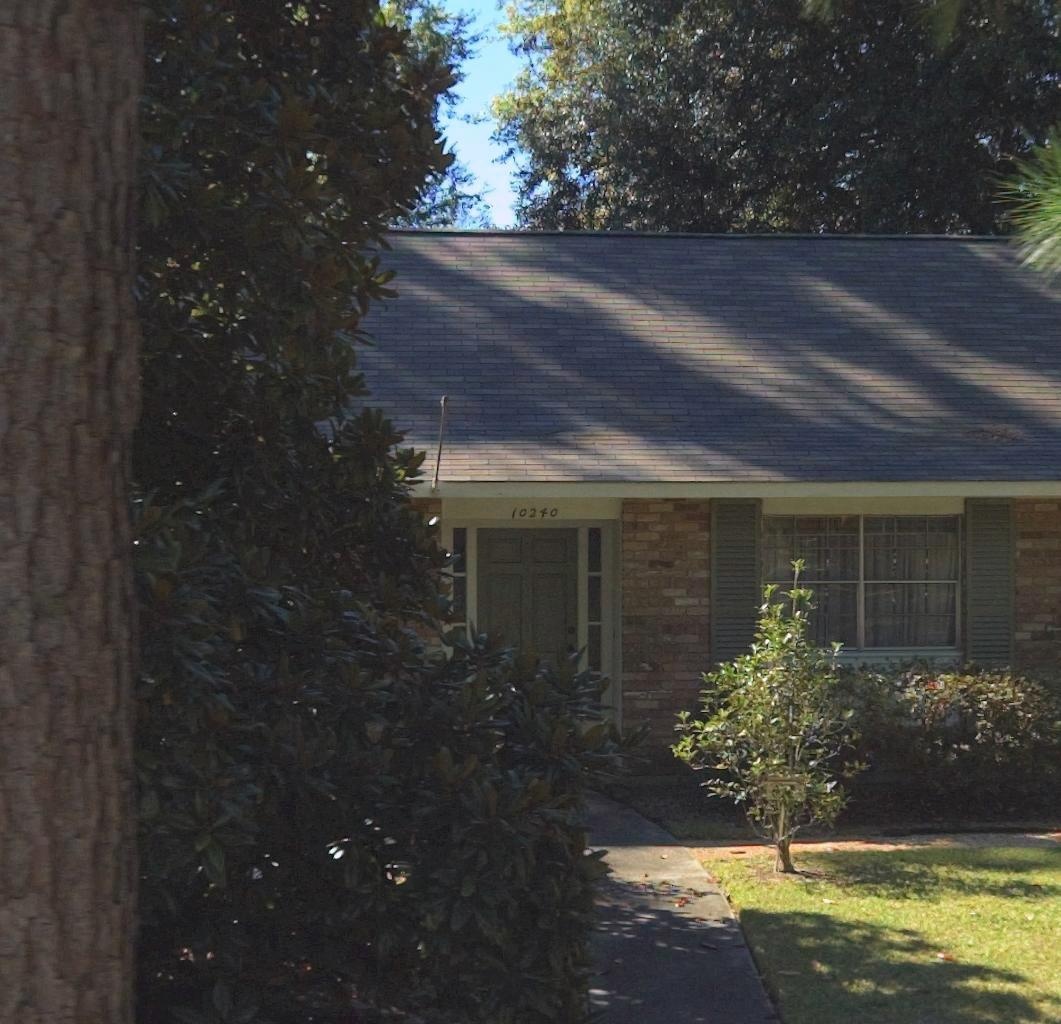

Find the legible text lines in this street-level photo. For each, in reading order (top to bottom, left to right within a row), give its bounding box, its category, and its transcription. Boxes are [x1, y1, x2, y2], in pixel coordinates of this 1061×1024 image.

[509, 505, 560, 520] StreetNumber: 10240